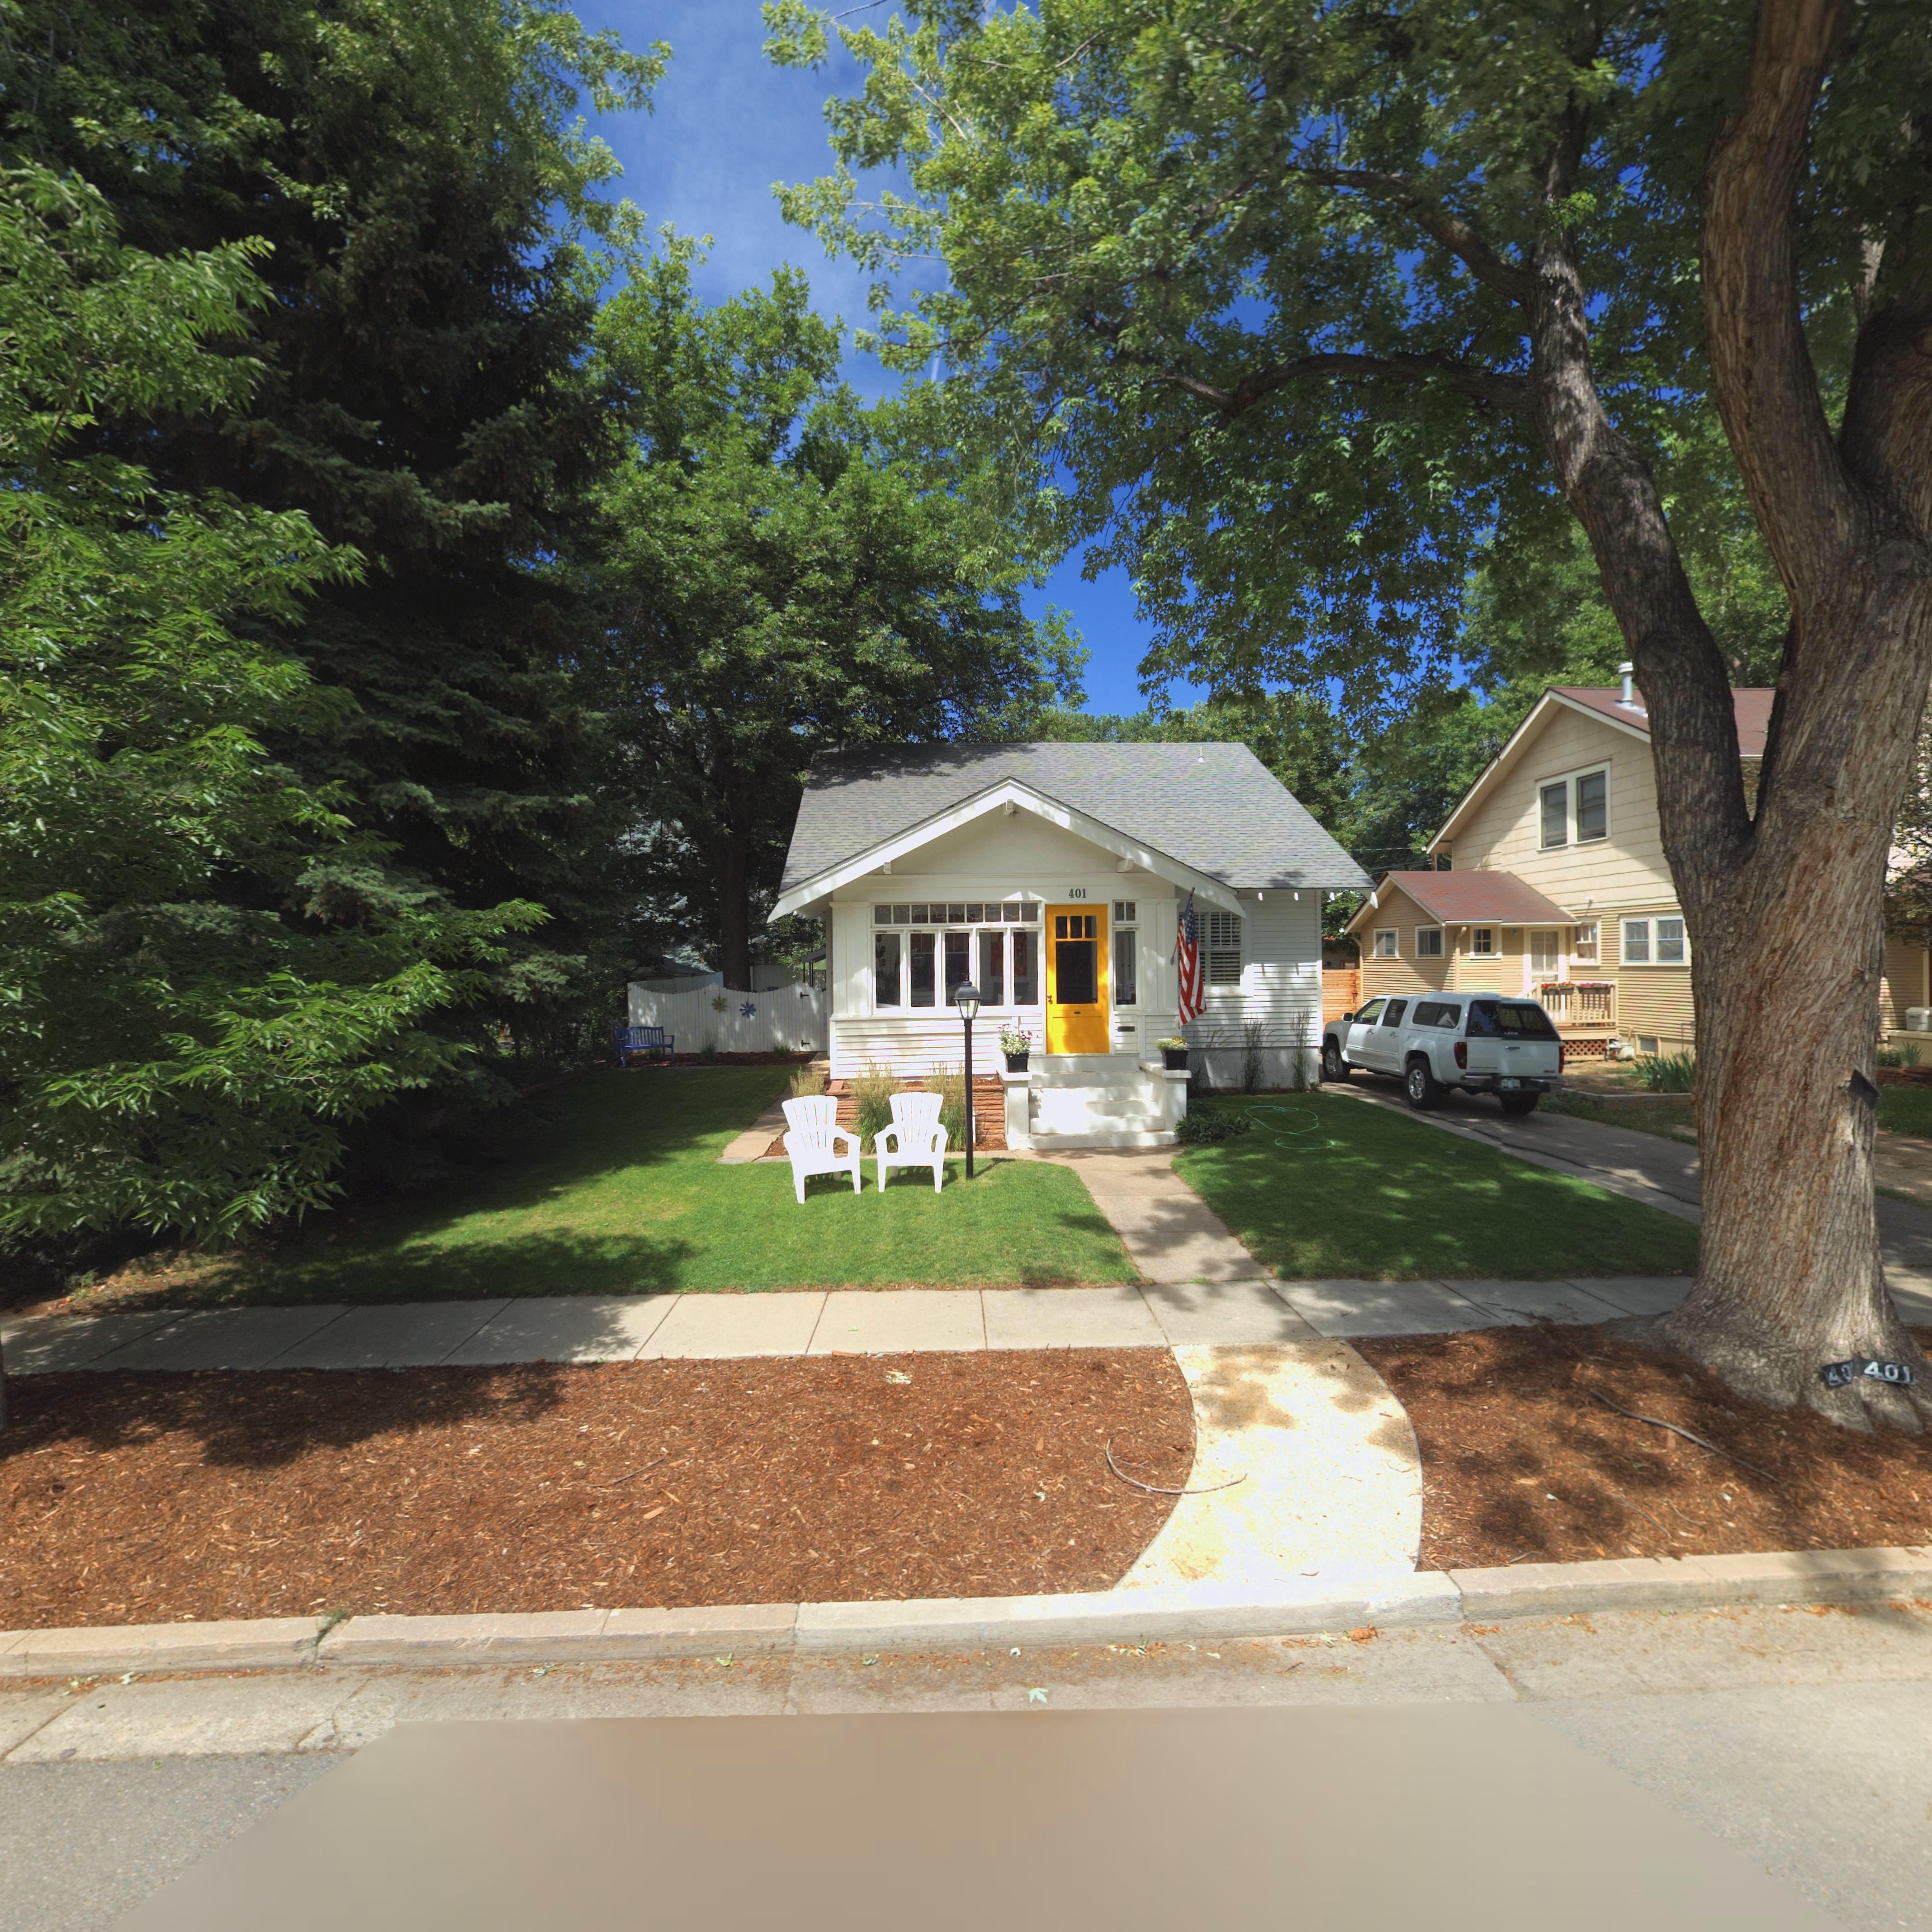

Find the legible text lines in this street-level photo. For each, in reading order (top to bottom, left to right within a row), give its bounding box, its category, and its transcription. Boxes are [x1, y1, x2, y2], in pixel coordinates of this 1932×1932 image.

[1068, 888, 1085, 898] StreetNumber: 401
[1828, 1363, 1854, 1383] StreetNumber: 40
[1862, 1361, 1911, 1382] StreetNumber: 401